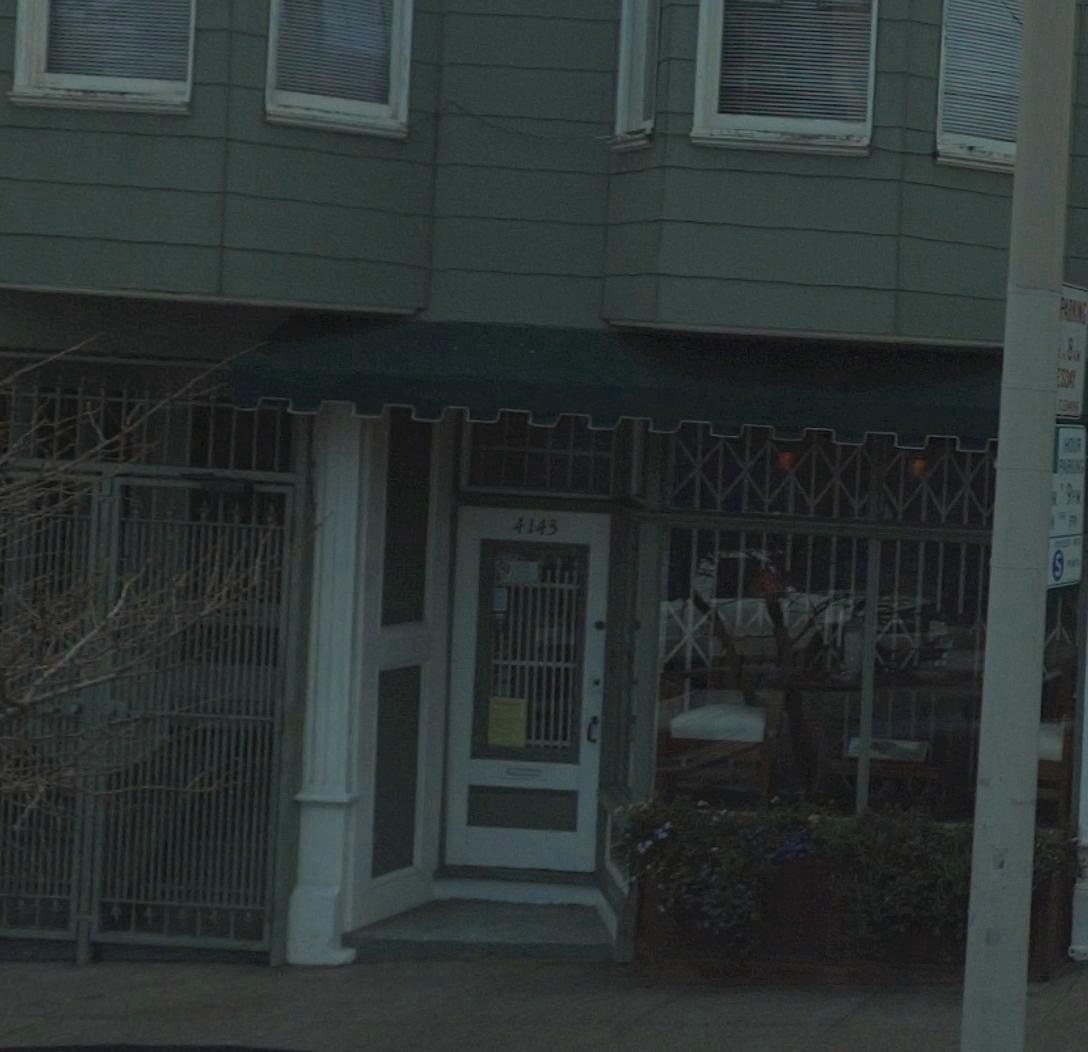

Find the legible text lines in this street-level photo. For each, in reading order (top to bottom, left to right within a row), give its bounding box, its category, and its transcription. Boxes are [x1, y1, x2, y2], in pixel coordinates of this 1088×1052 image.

[1060, 295, 1088, 326] None: RKING
[1067, 334, 1083, 365] None: 8 A.M.
[1054, 366, 1078, 388] None: *SDAY
[1057, 397, 1079, 414] None: CLEANING
[1061, 435, 1084, 455] None: HOUR
[1058, 458, 1085, 474] None: PARKING
[1051, 488, 1058, 507] None: M.
[1065, 481, 1082, 506] None: 9 A.M.
[509, 514, 560, 537] StreetNumber: 4143
[1055, 511, 1064, 520] None: THRU
[1069, 514, 1080, 529] None: FRI
[1053, 553, 1063, 579] None: S